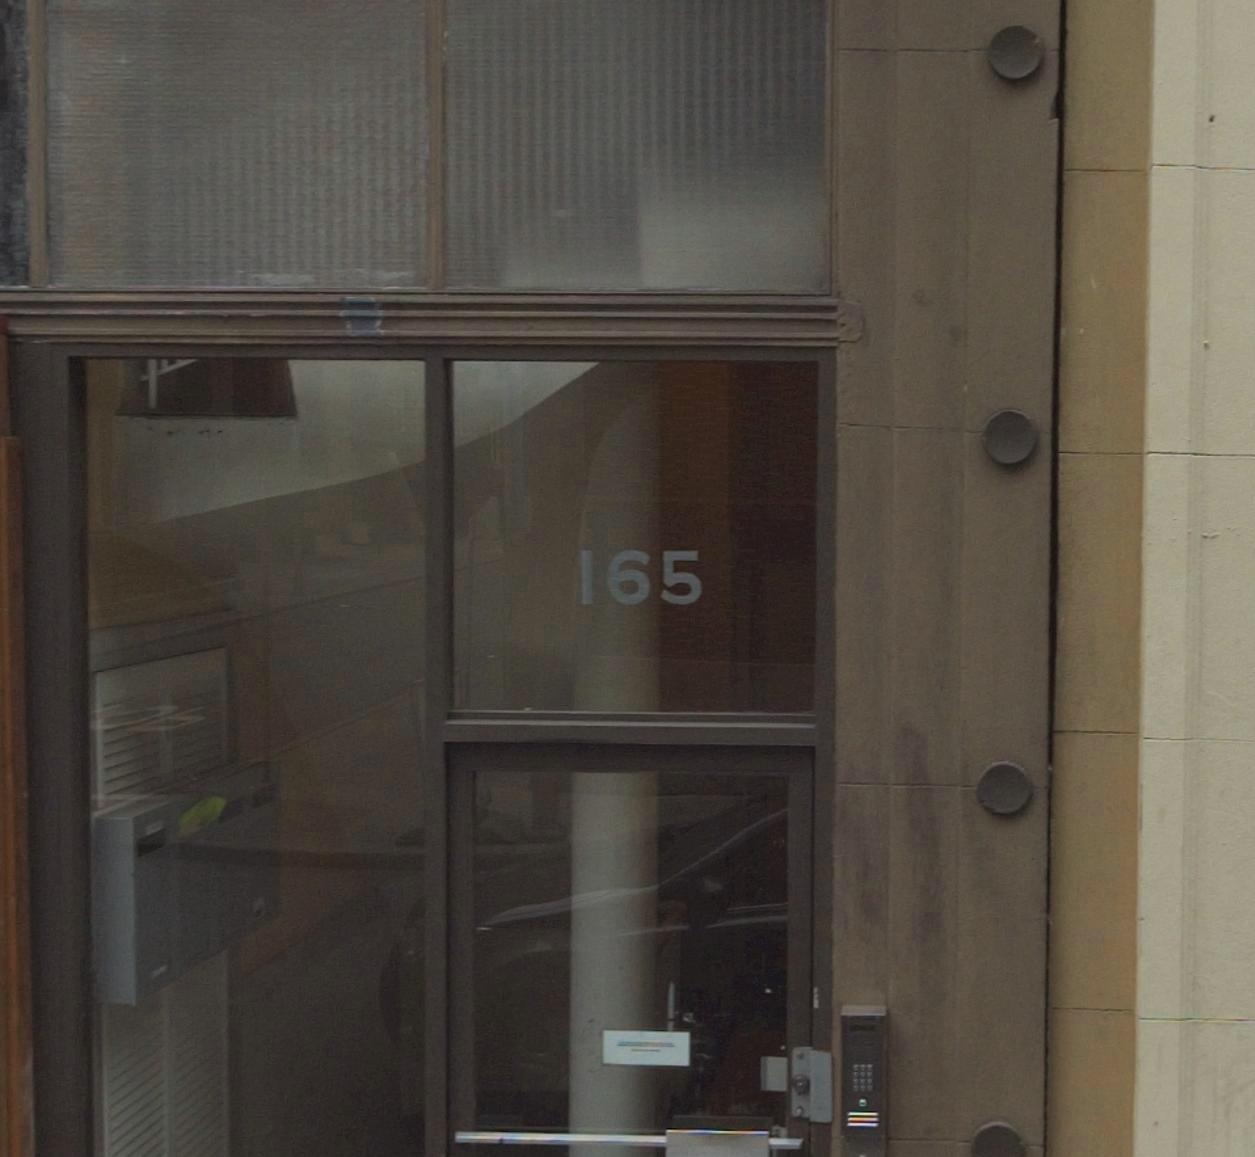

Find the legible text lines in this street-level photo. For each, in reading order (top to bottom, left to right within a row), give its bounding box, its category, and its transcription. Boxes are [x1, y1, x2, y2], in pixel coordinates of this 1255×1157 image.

[577, 546, 706, 610] StreetNumber: 165